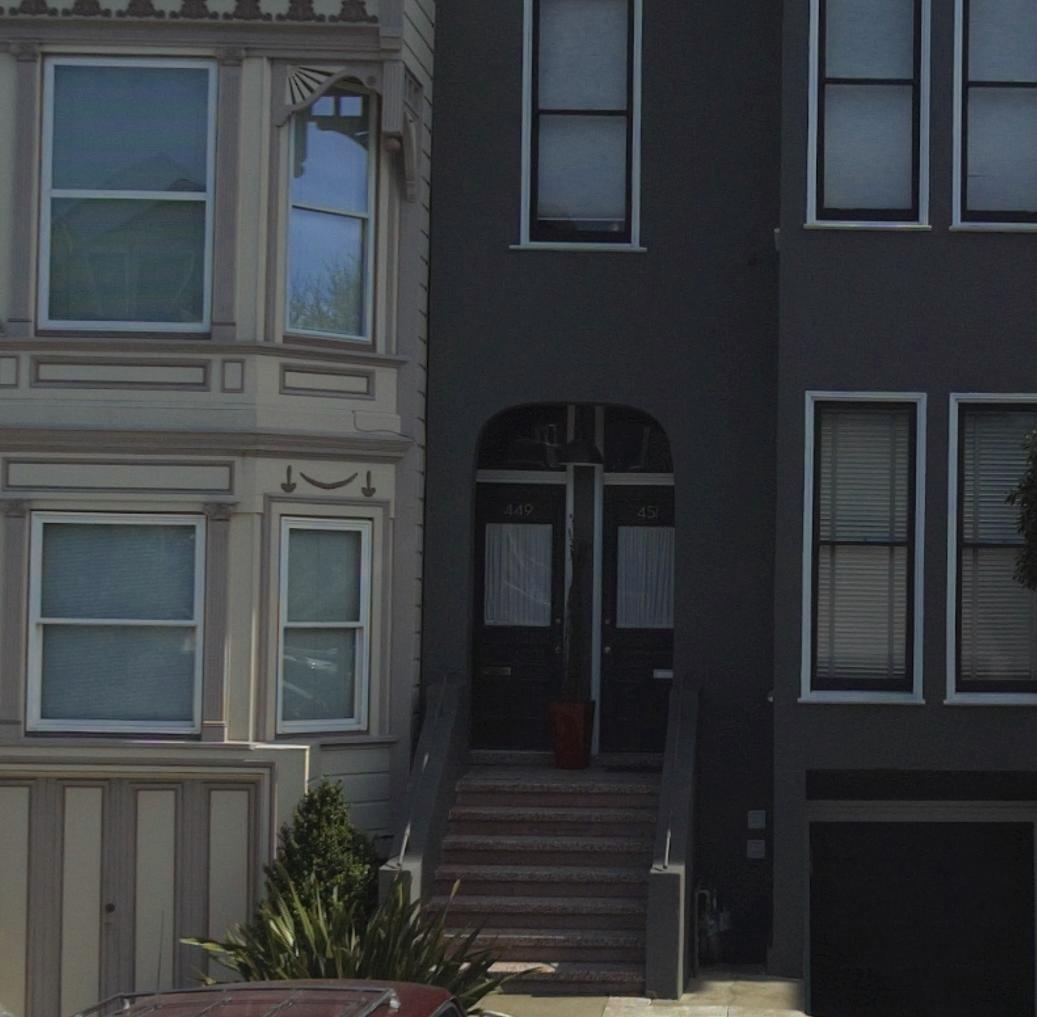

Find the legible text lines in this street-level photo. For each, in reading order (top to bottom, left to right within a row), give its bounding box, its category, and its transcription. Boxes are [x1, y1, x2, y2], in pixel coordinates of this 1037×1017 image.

[502, 502, 534, 519] StreetNumber: 449
[635, 504, 660, 520] StreetNumber: 451